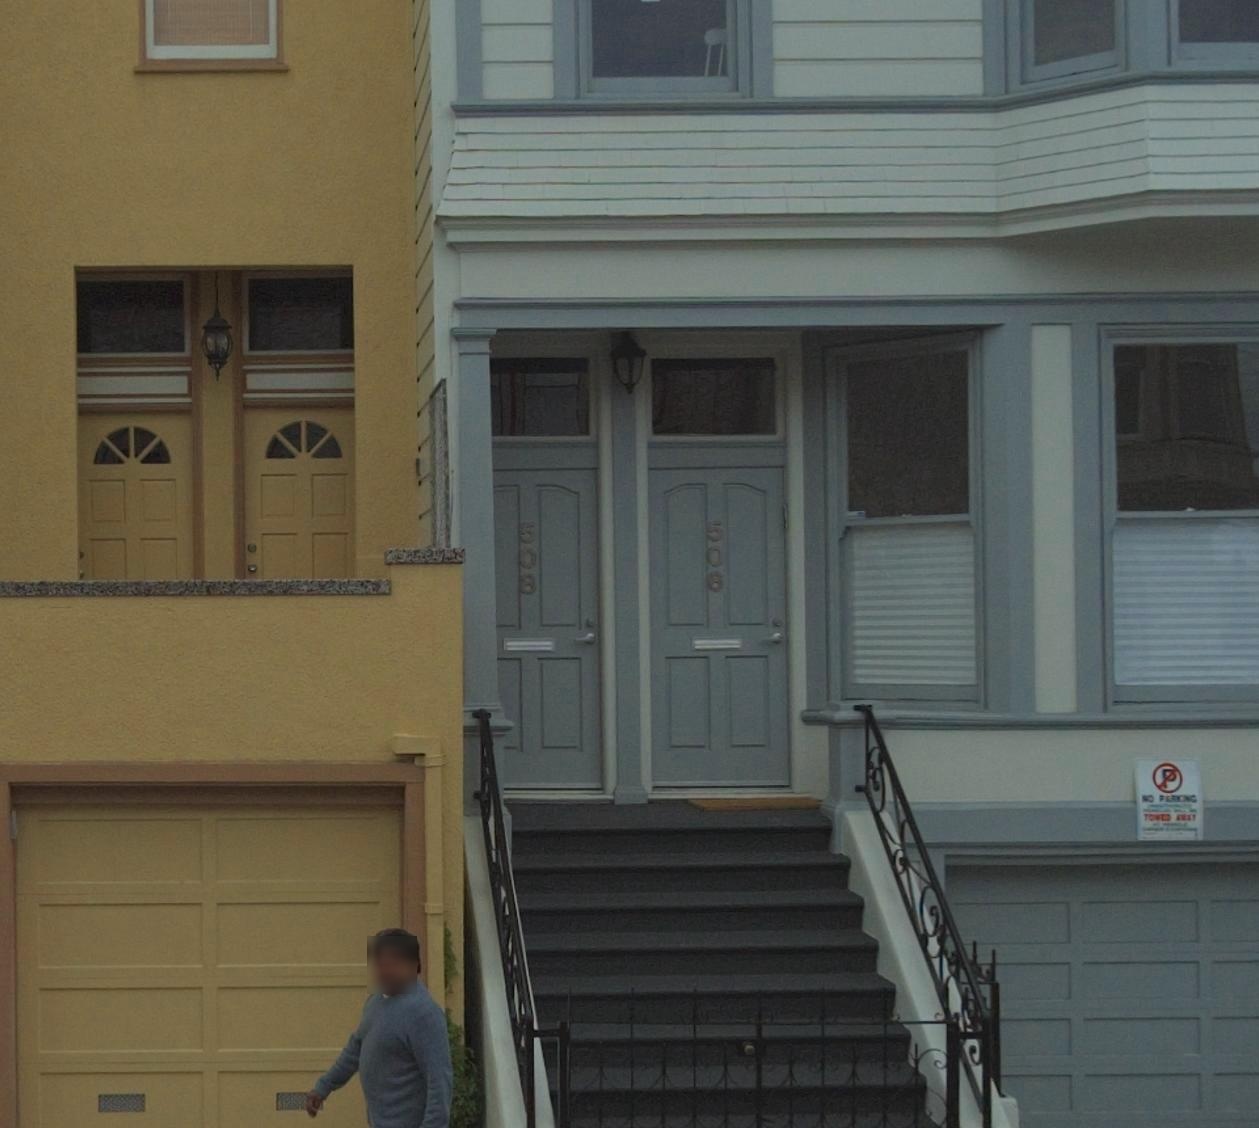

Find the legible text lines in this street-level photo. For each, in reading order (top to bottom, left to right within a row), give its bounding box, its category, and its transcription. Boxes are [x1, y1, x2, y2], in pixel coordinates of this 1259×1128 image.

[517, 521, 538, 596] StreetNumber: 508
[705, 518, 725, 593] StreetNumber: 506
[1141, 794, 1198, 803] None: NO PARKING
[1142, 813, 1197, 822] None: TOWED AWAY